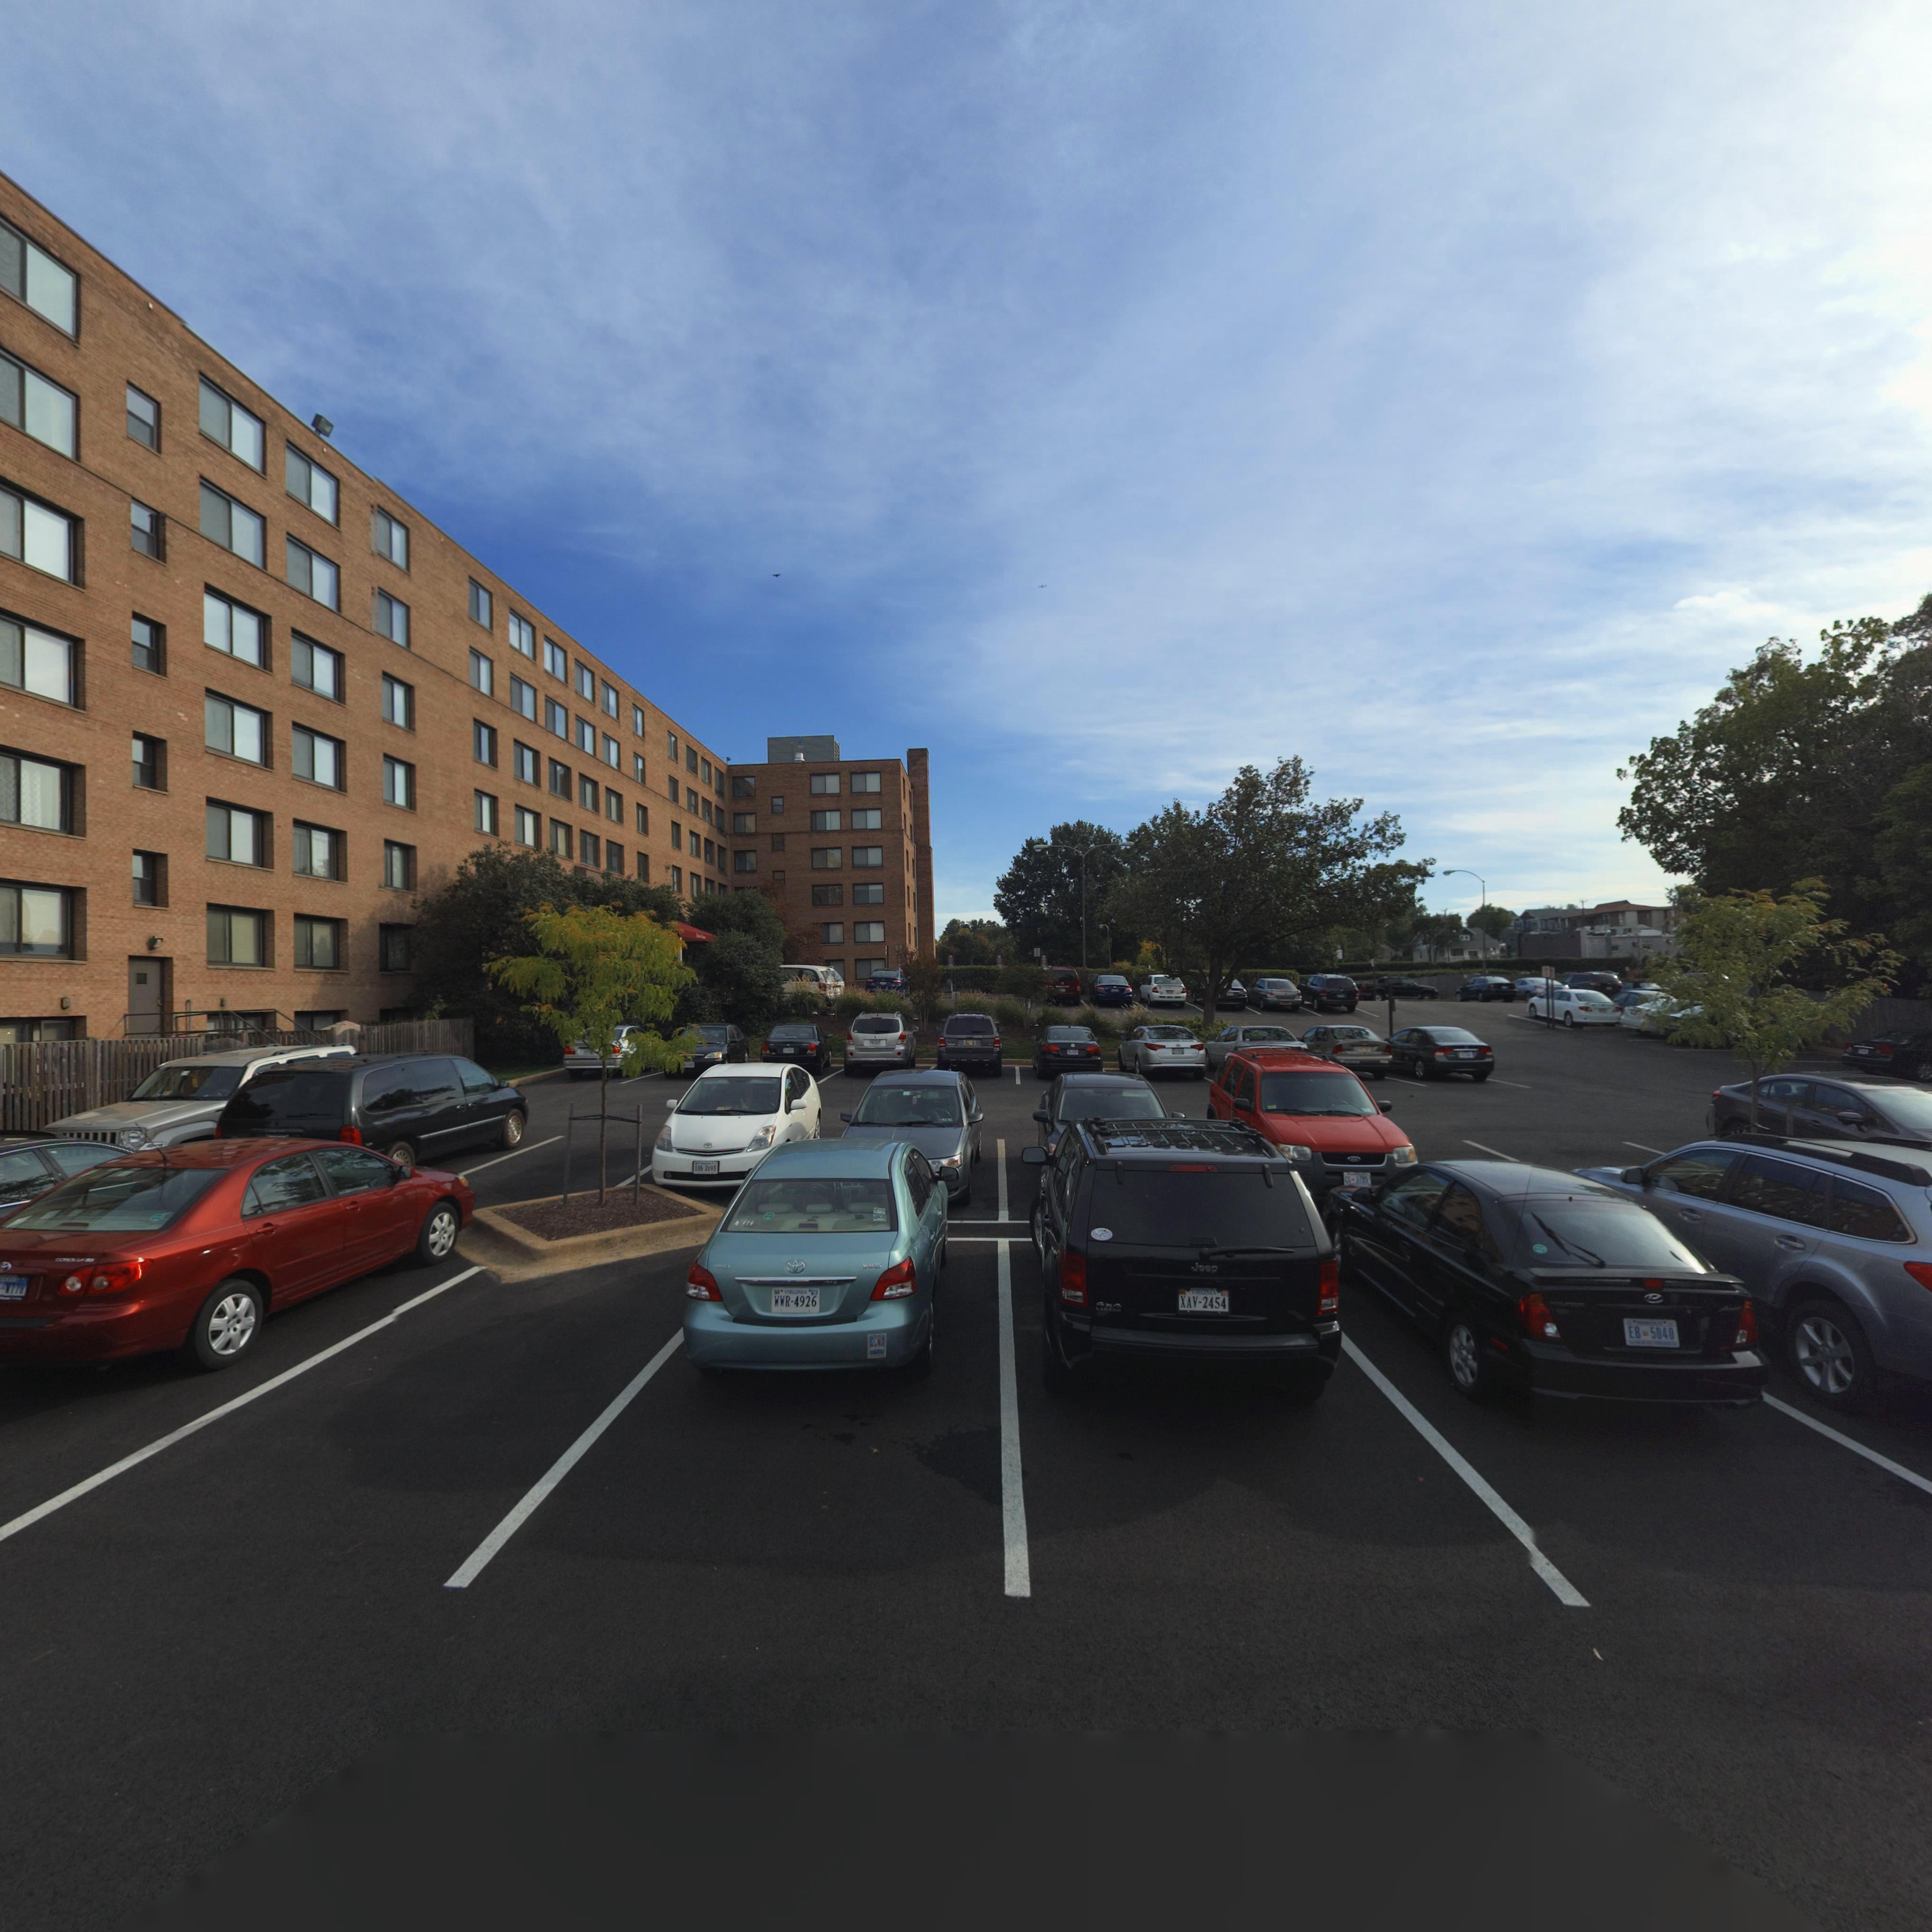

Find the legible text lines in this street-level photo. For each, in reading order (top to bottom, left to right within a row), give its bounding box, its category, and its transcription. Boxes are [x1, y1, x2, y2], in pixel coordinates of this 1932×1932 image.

[694, 1165, 716, 1171] None: X*B-2193
[1344, 1175, 1369, 1184] None: C6*37*5
[715, 1264, 726, 1270] None: OYO
[861, 1261, 882, 1269] None: YARIS
[1190, 1261, 1218, 1275] None: Jeep
[9, 1282, 27, 1295] None: 778
[783, 1289, 808, 1294] None: VIRGINIA
[1191, 1289, 1217, 1295] None: VIRGINIA
[773, 1295, 818, 1308] None: WWR-4926
[1095, 1301, 1122, 1308] None: 4x4
[1179, 1295, 1227, 1309] None: XAV-2454
[1095, 1306, 1121, 1314] None: LAREDO
[1628, 1325, 1675, 1340] None: EB=5040